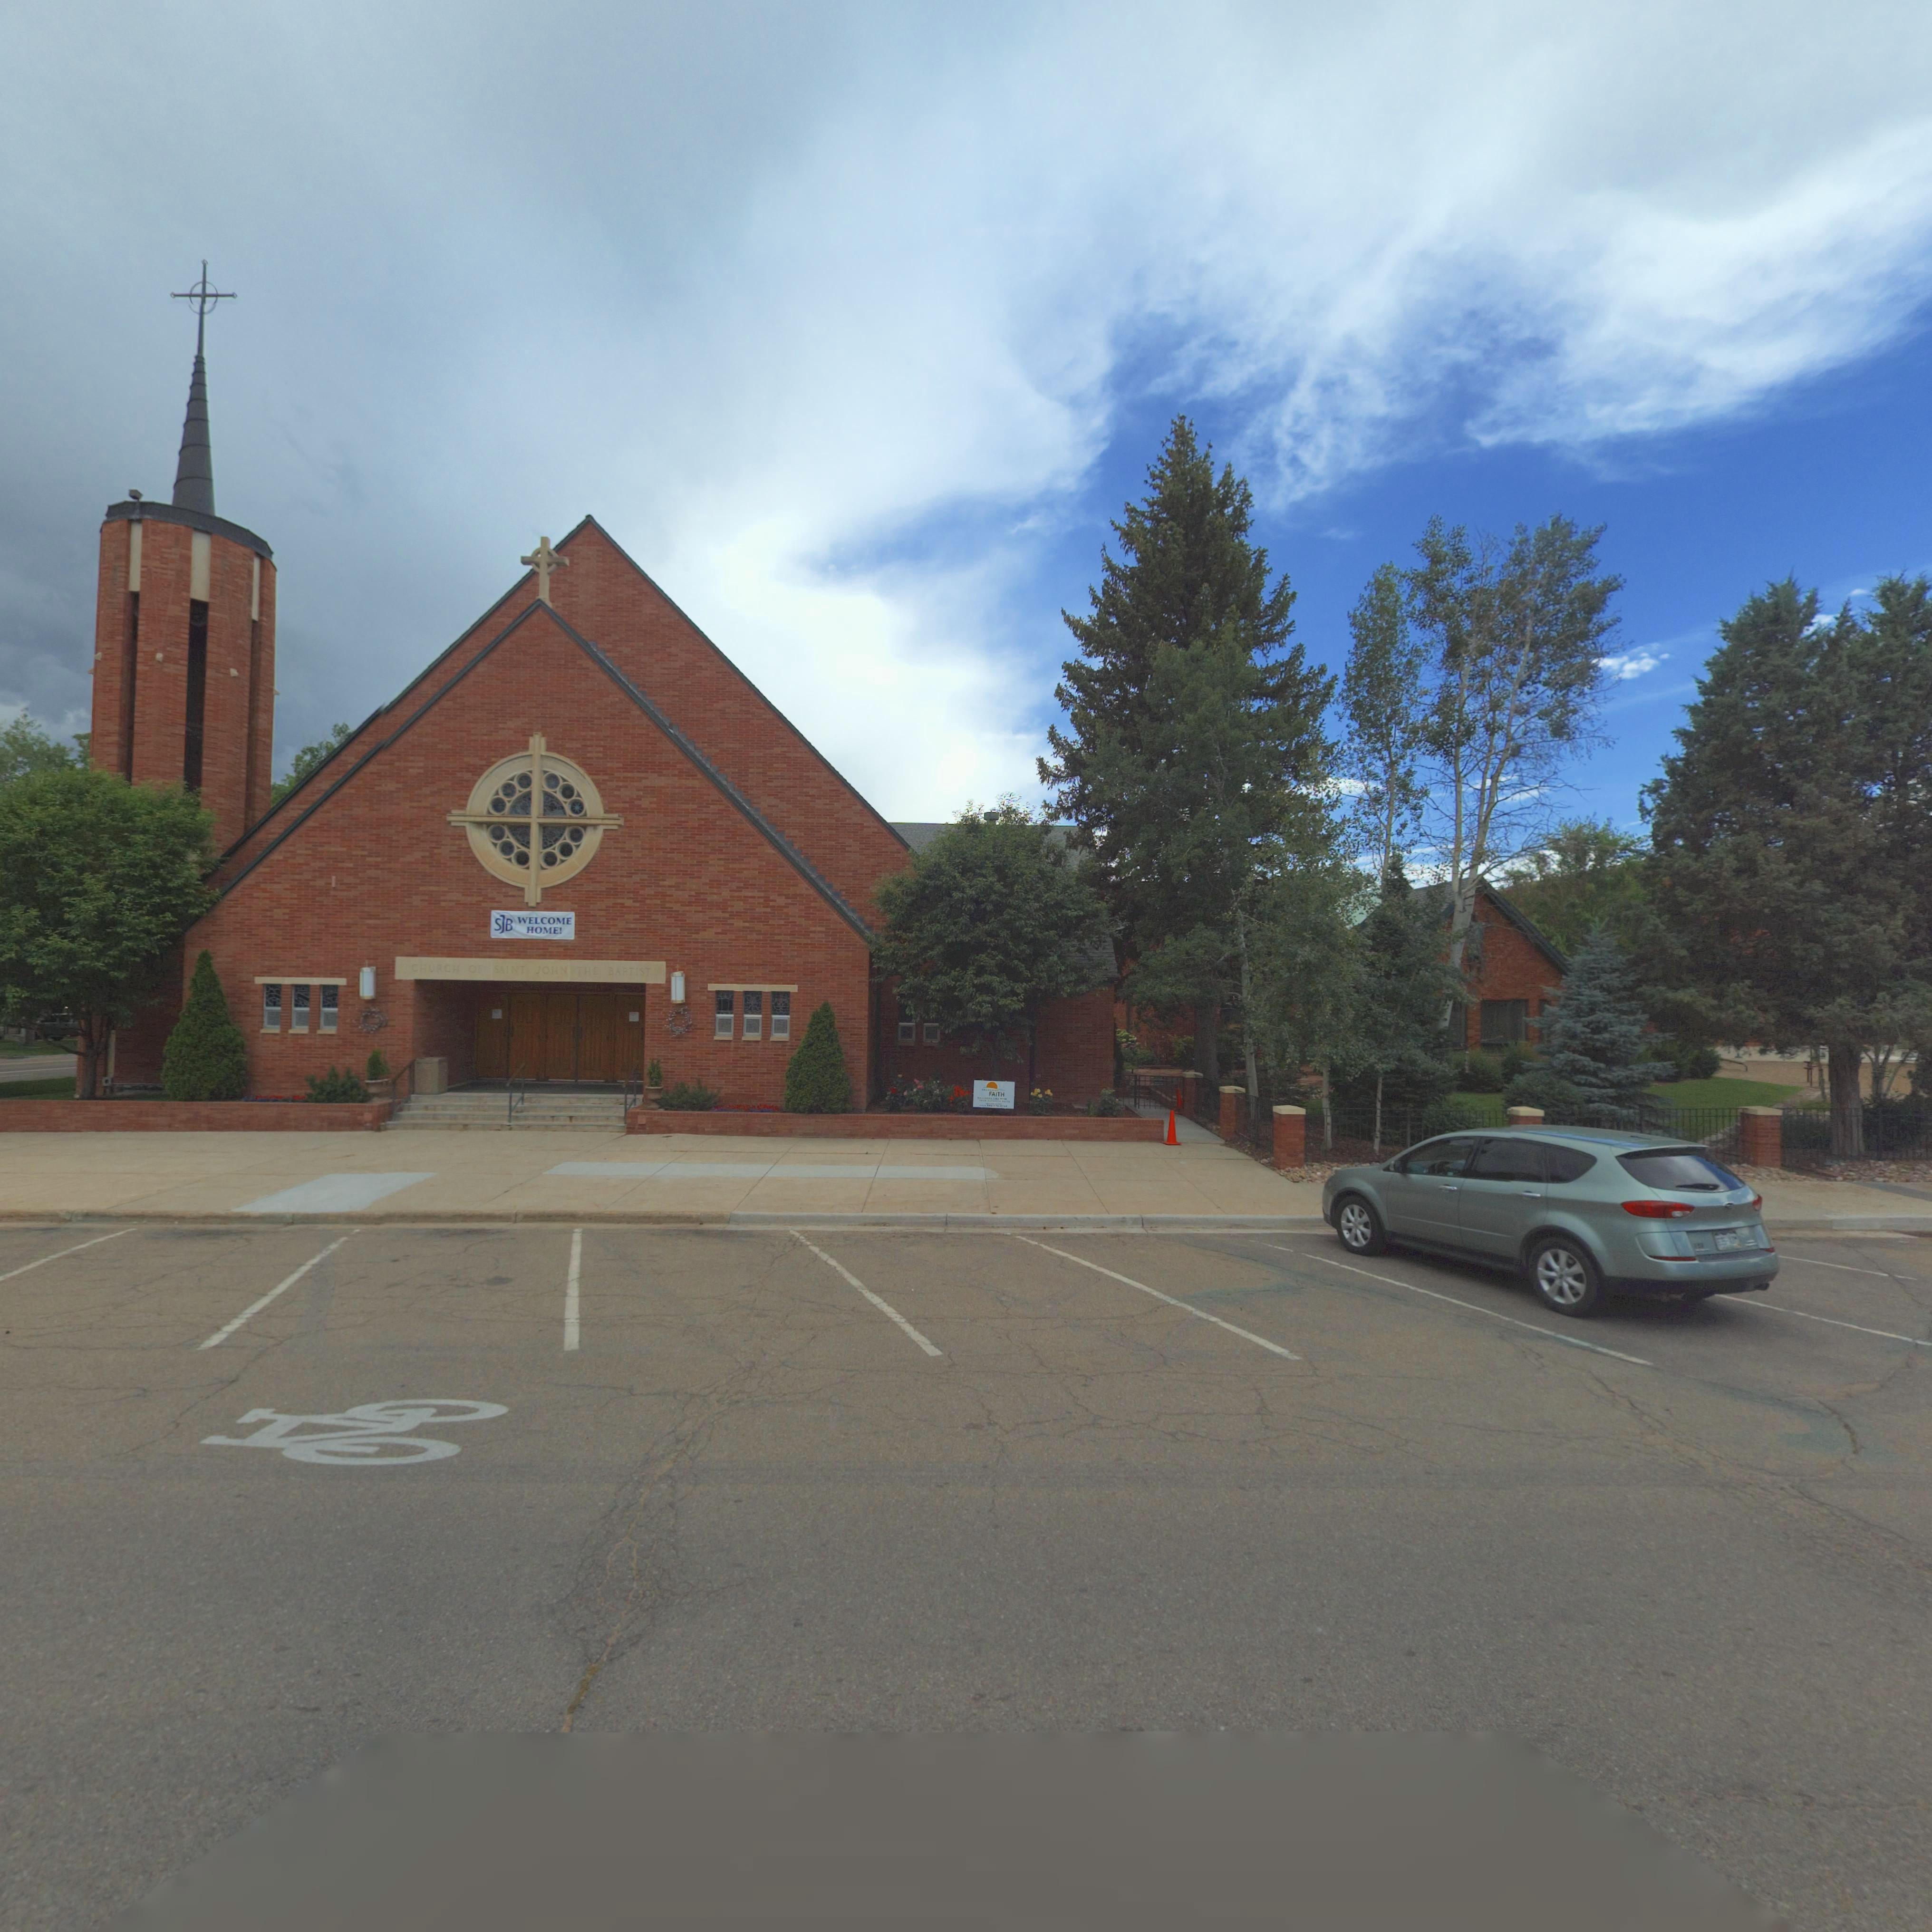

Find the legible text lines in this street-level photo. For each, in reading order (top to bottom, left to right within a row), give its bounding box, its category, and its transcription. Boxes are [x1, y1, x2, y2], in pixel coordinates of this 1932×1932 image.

[493, 914, 513, 934] BusinessName: SJB
[411, 963, 654, 977] BusinessName: CHURCH OF SAINT JOHN THE BAPTIST